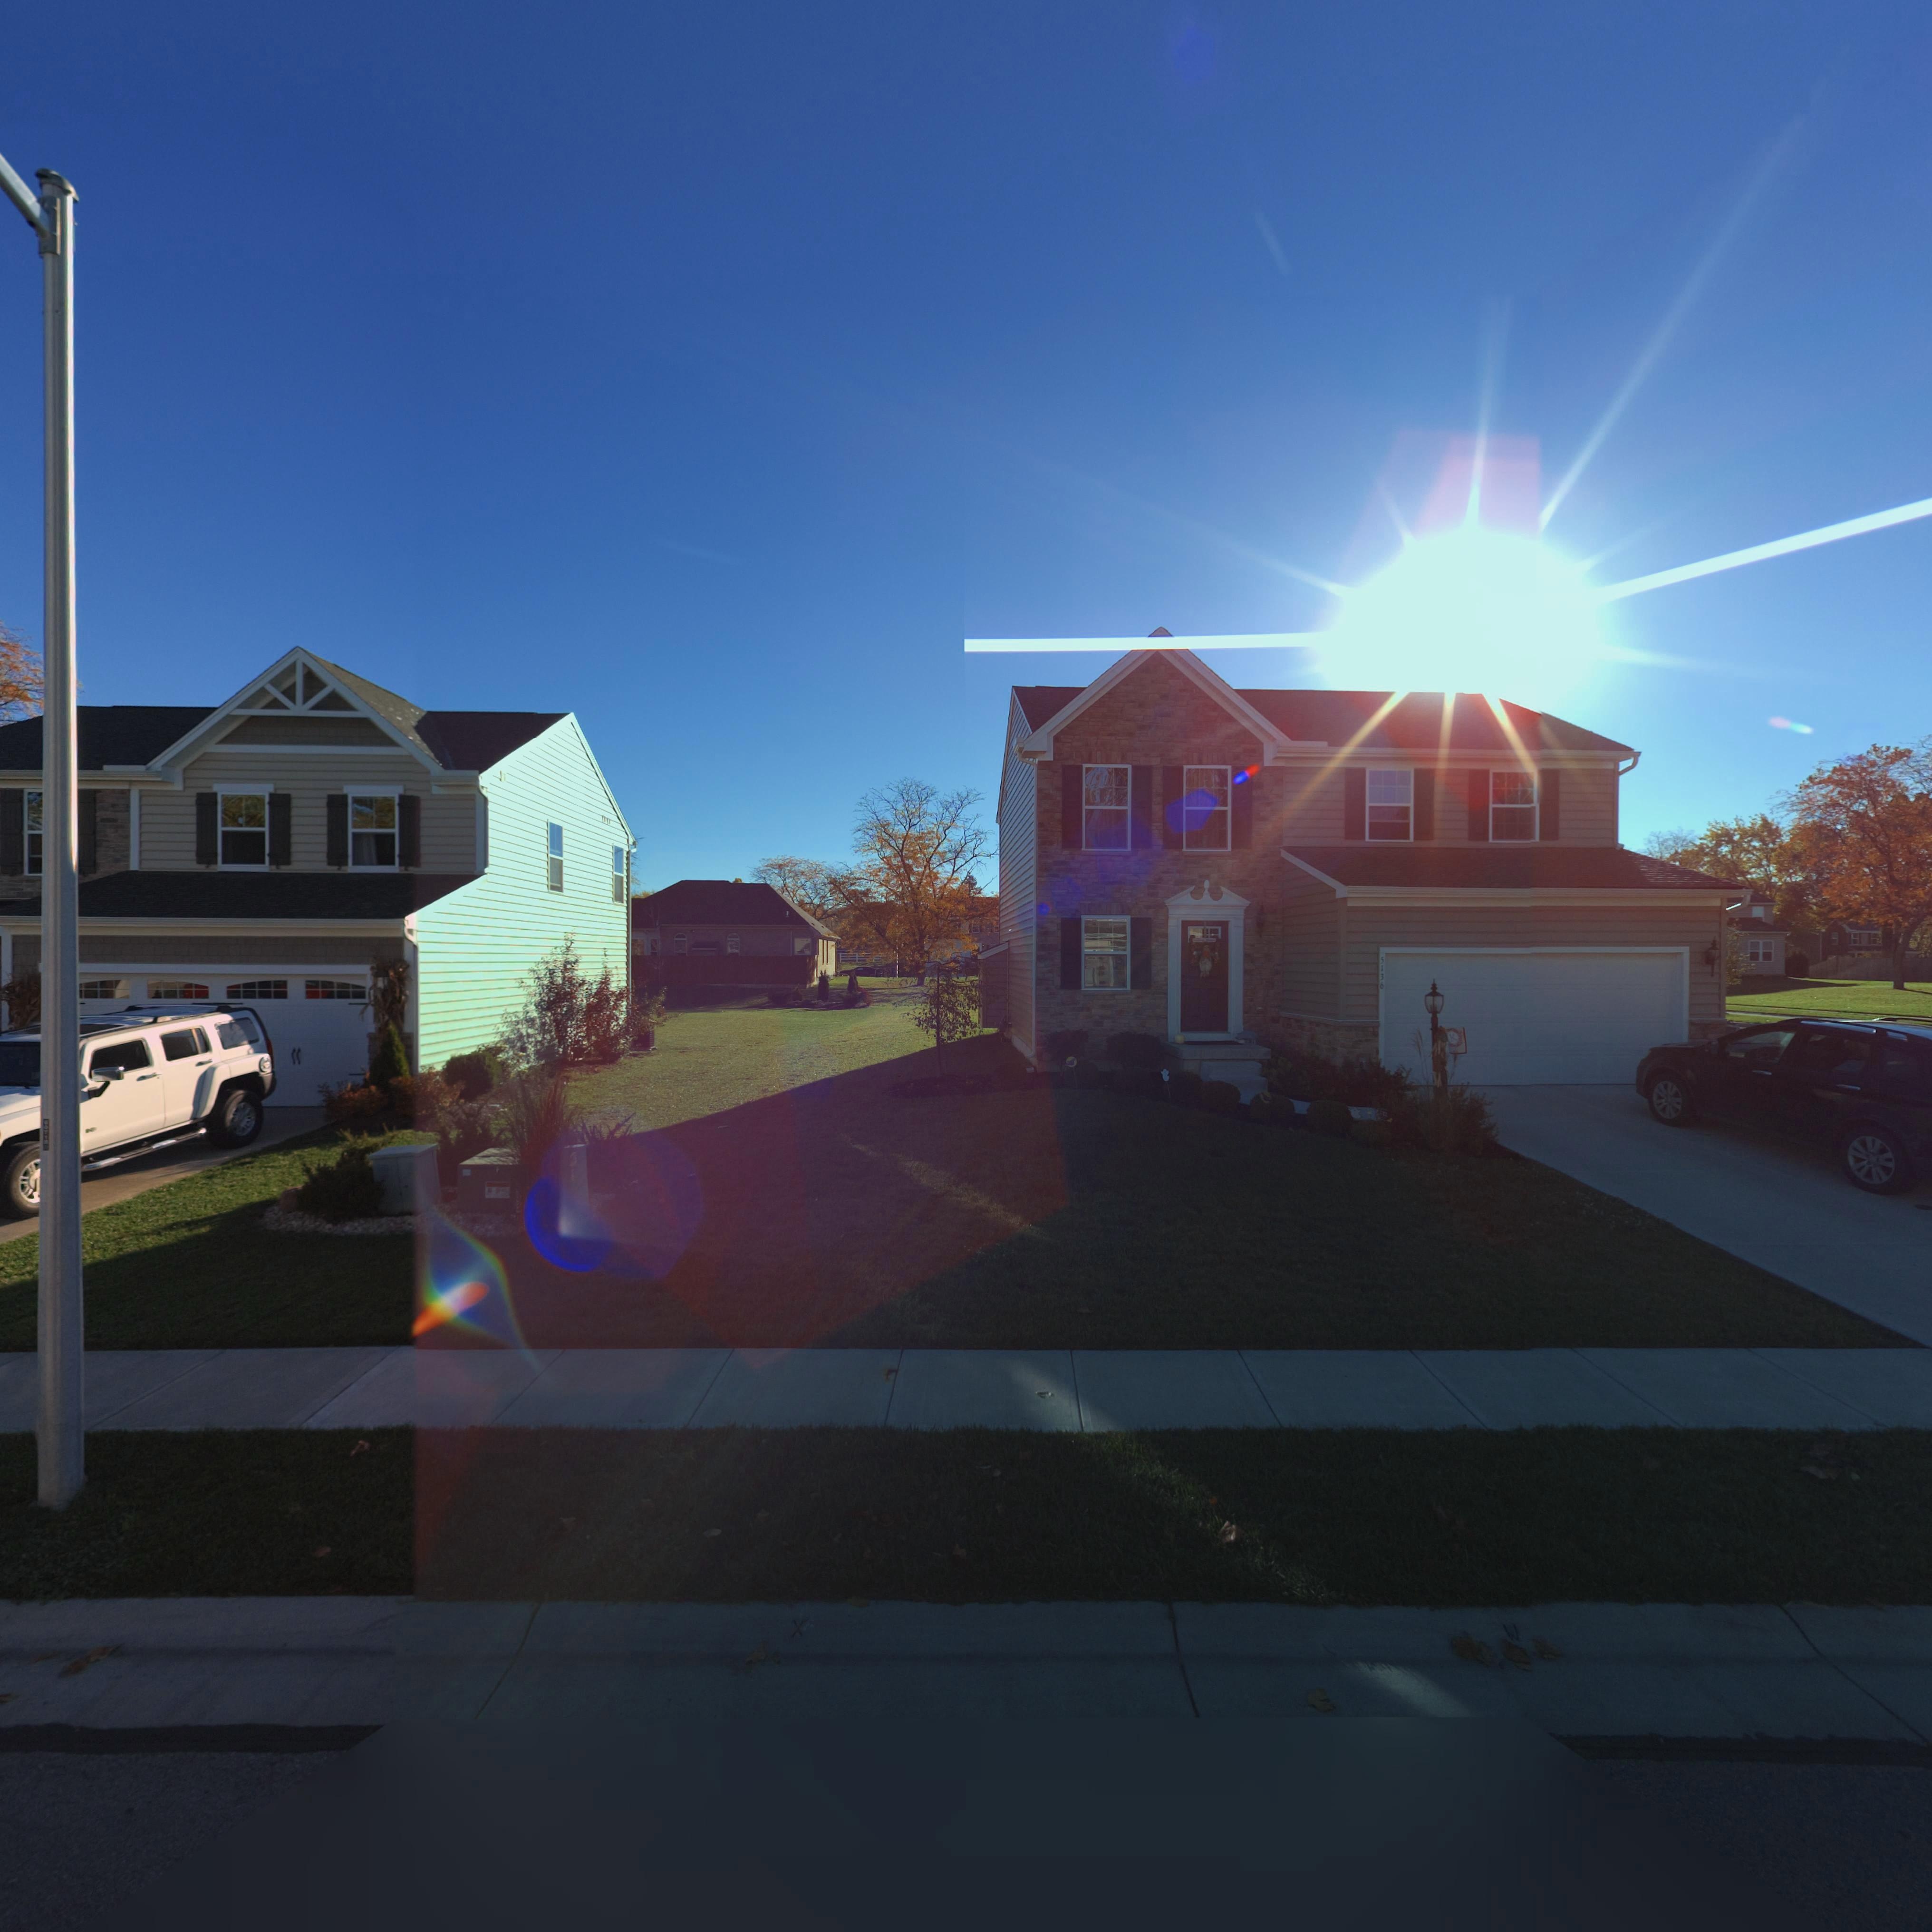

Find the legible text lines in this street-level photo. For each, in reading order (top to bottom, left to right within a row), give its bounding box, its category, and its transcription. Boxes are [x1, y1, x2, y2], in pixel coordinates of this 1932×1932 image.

[1379, 956, 1385, 990] StreetNumber: 5136